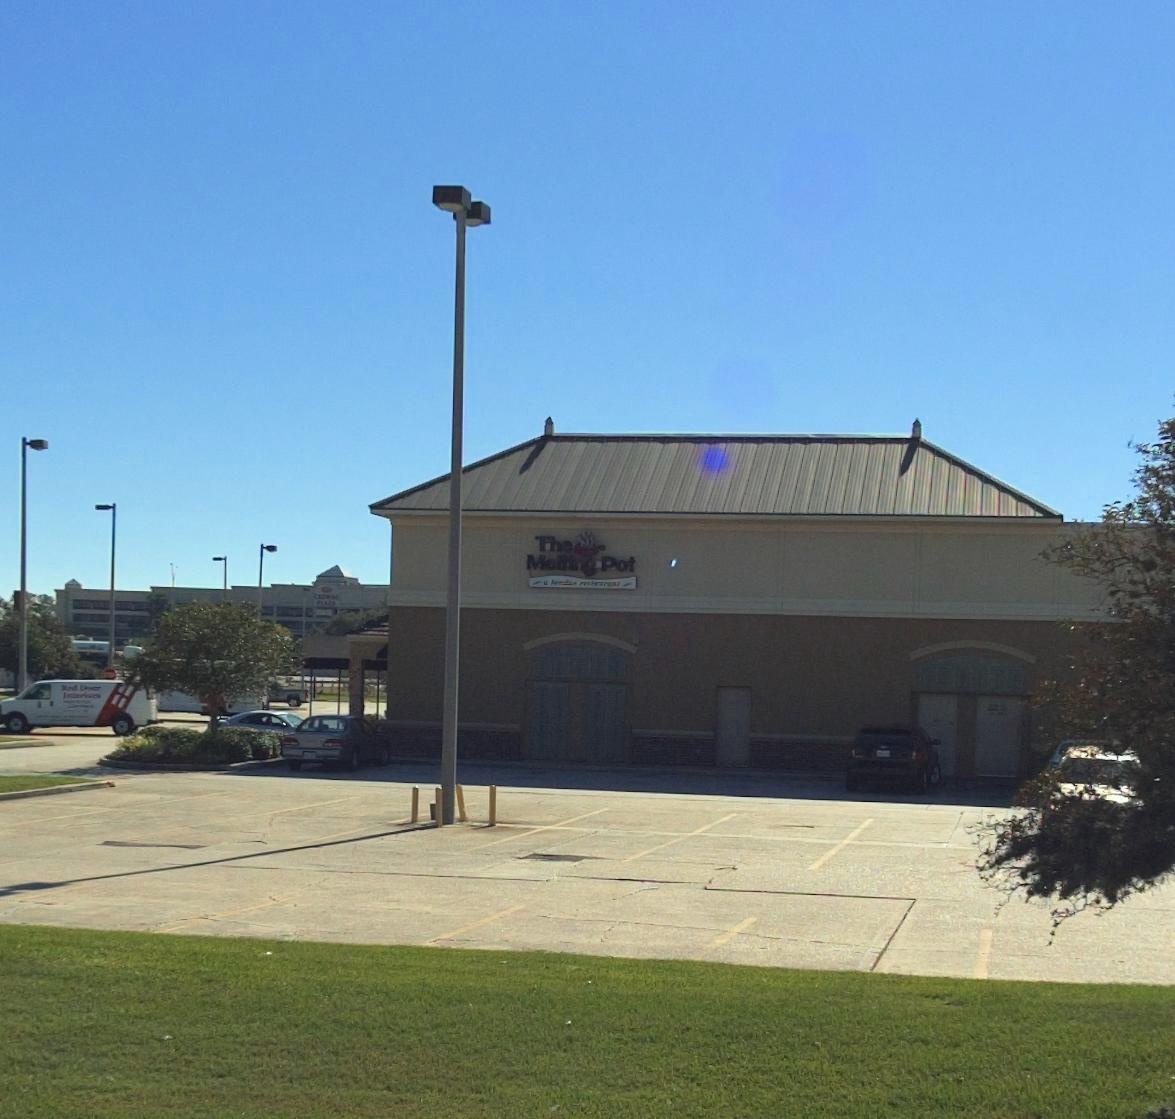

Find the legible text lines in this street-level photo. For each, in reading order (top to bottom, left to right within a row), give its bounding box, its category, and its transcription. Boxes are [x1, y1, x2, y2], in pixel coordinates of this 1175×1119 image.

[534, 534, 573, 553] BusinessName: The
[525, 553, 638, 578] BusinessName: Melting Pot